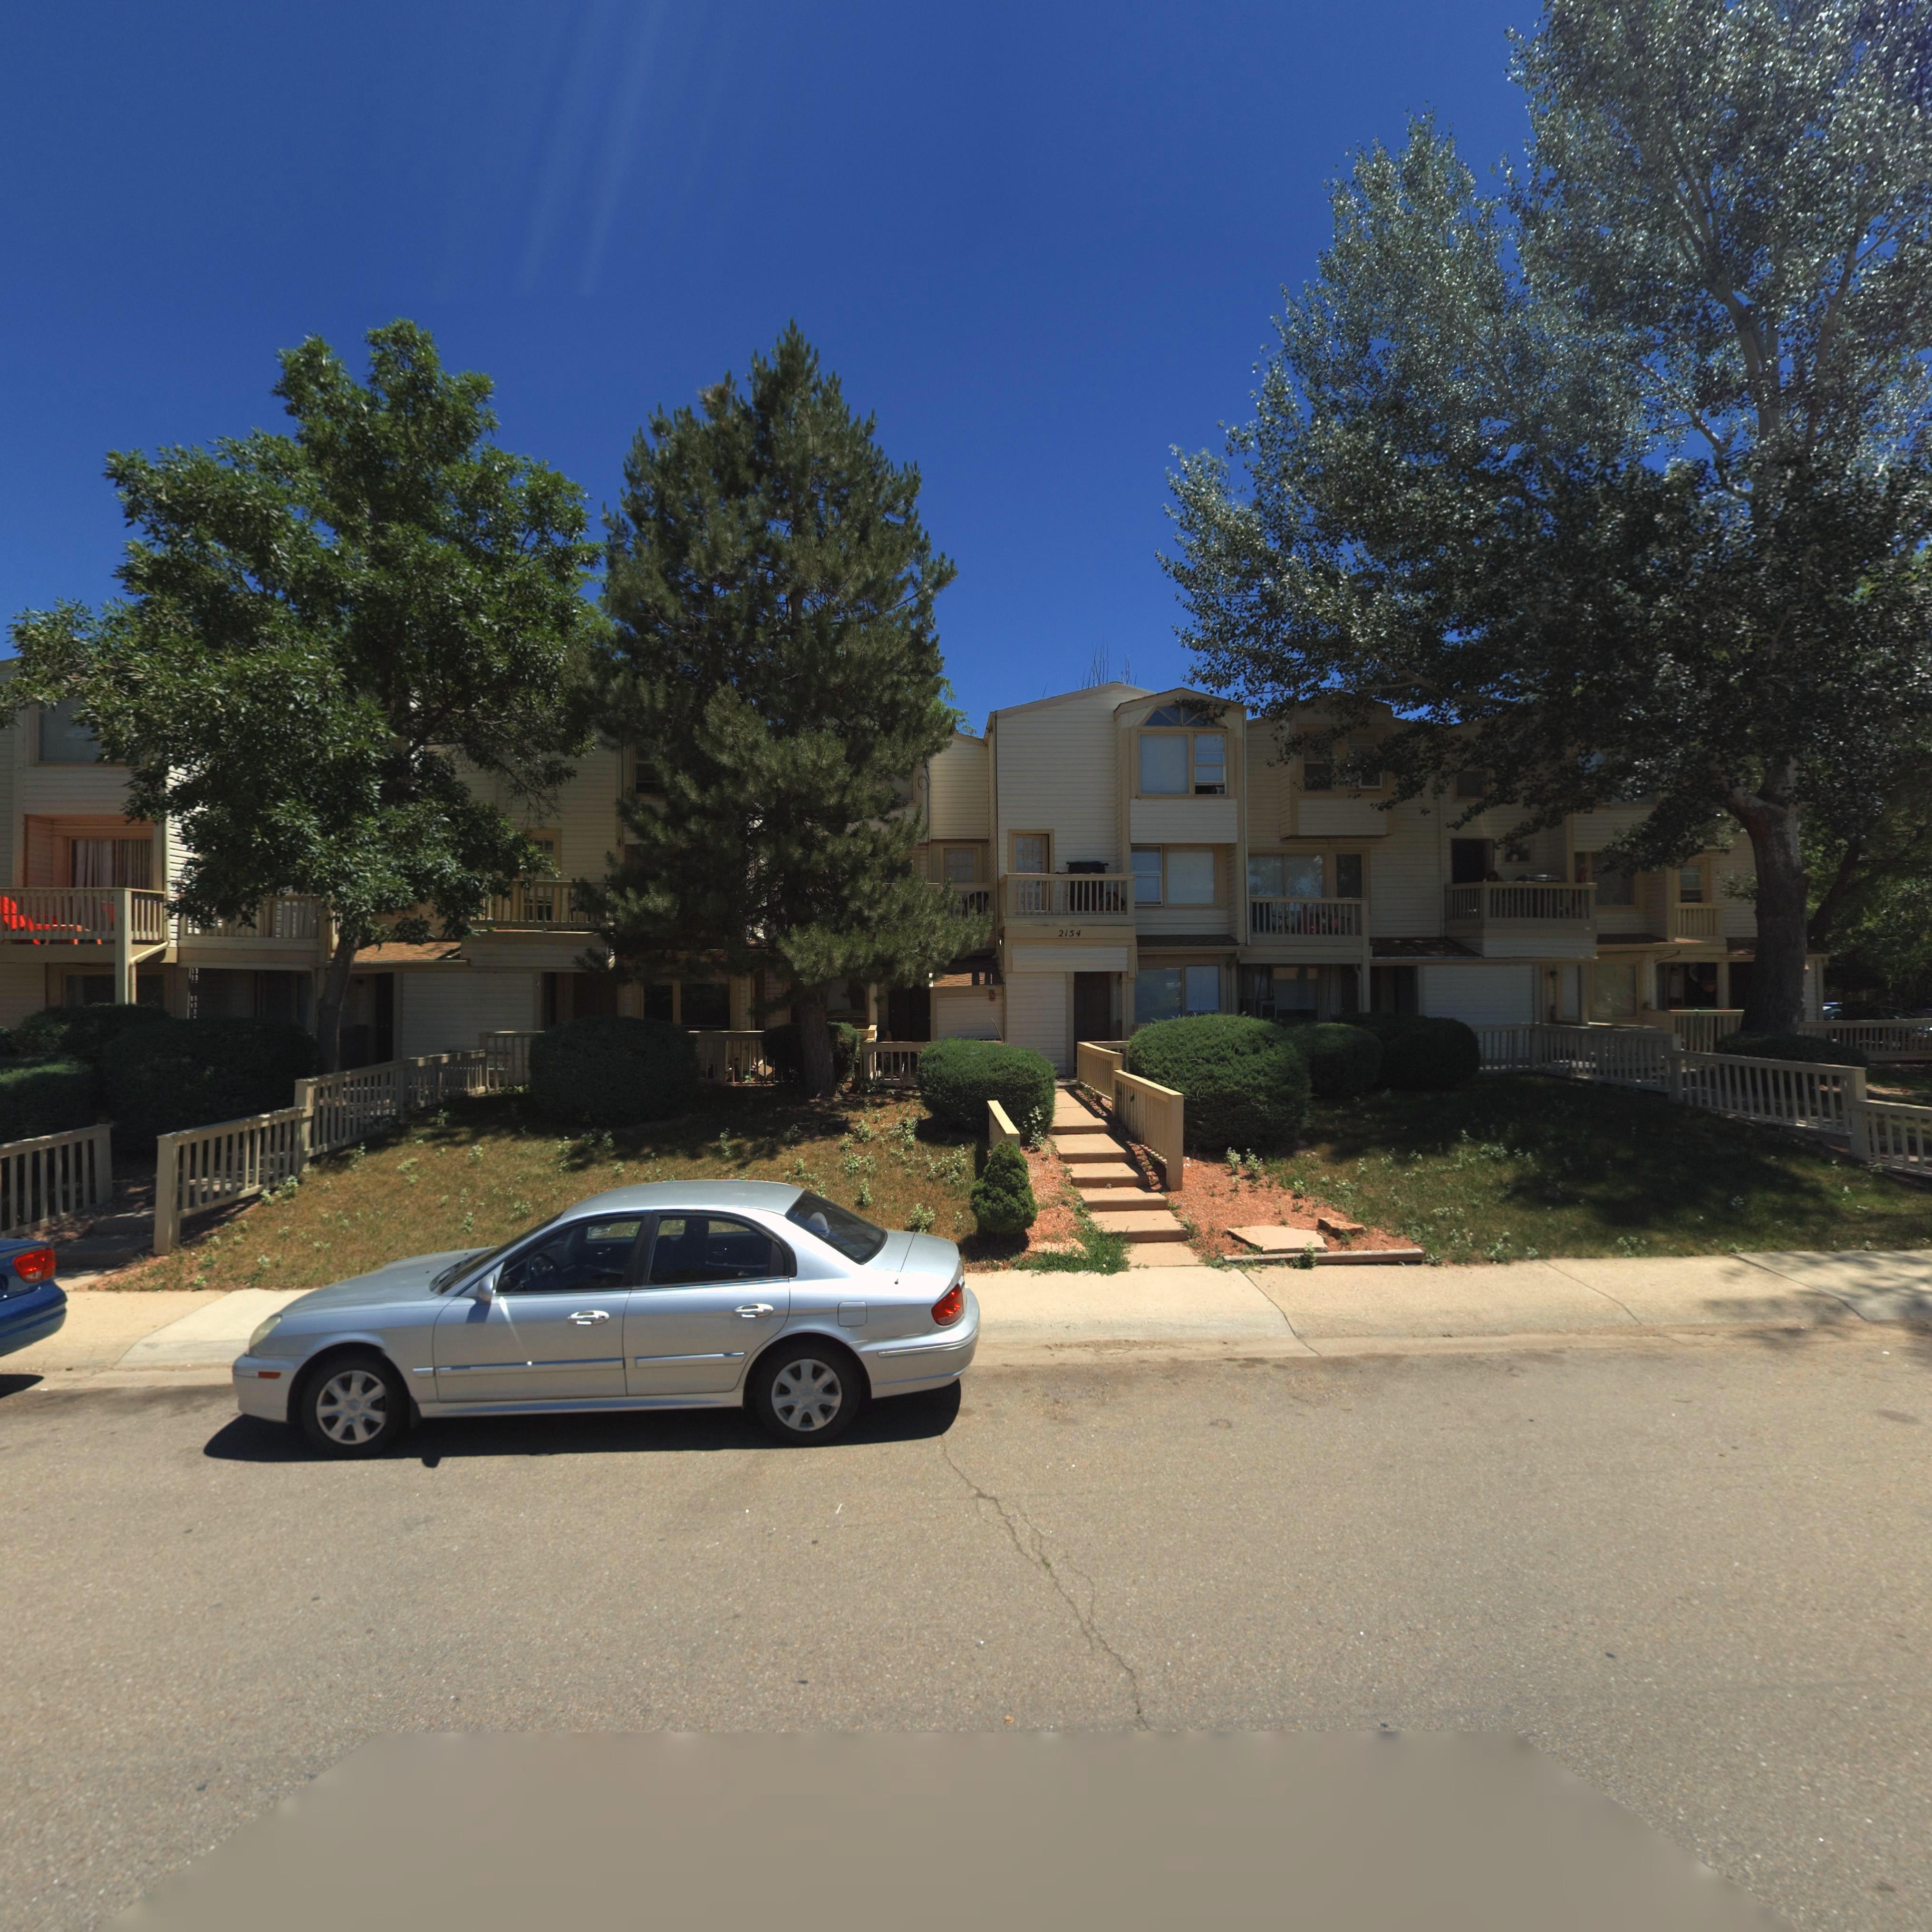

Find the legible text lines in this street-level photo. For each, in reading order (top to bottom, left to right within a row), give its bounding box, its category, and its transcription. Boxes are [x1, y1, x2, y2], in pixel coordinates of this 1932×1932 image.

[1058, 929, 1081, 937] StreetNumber: 2154